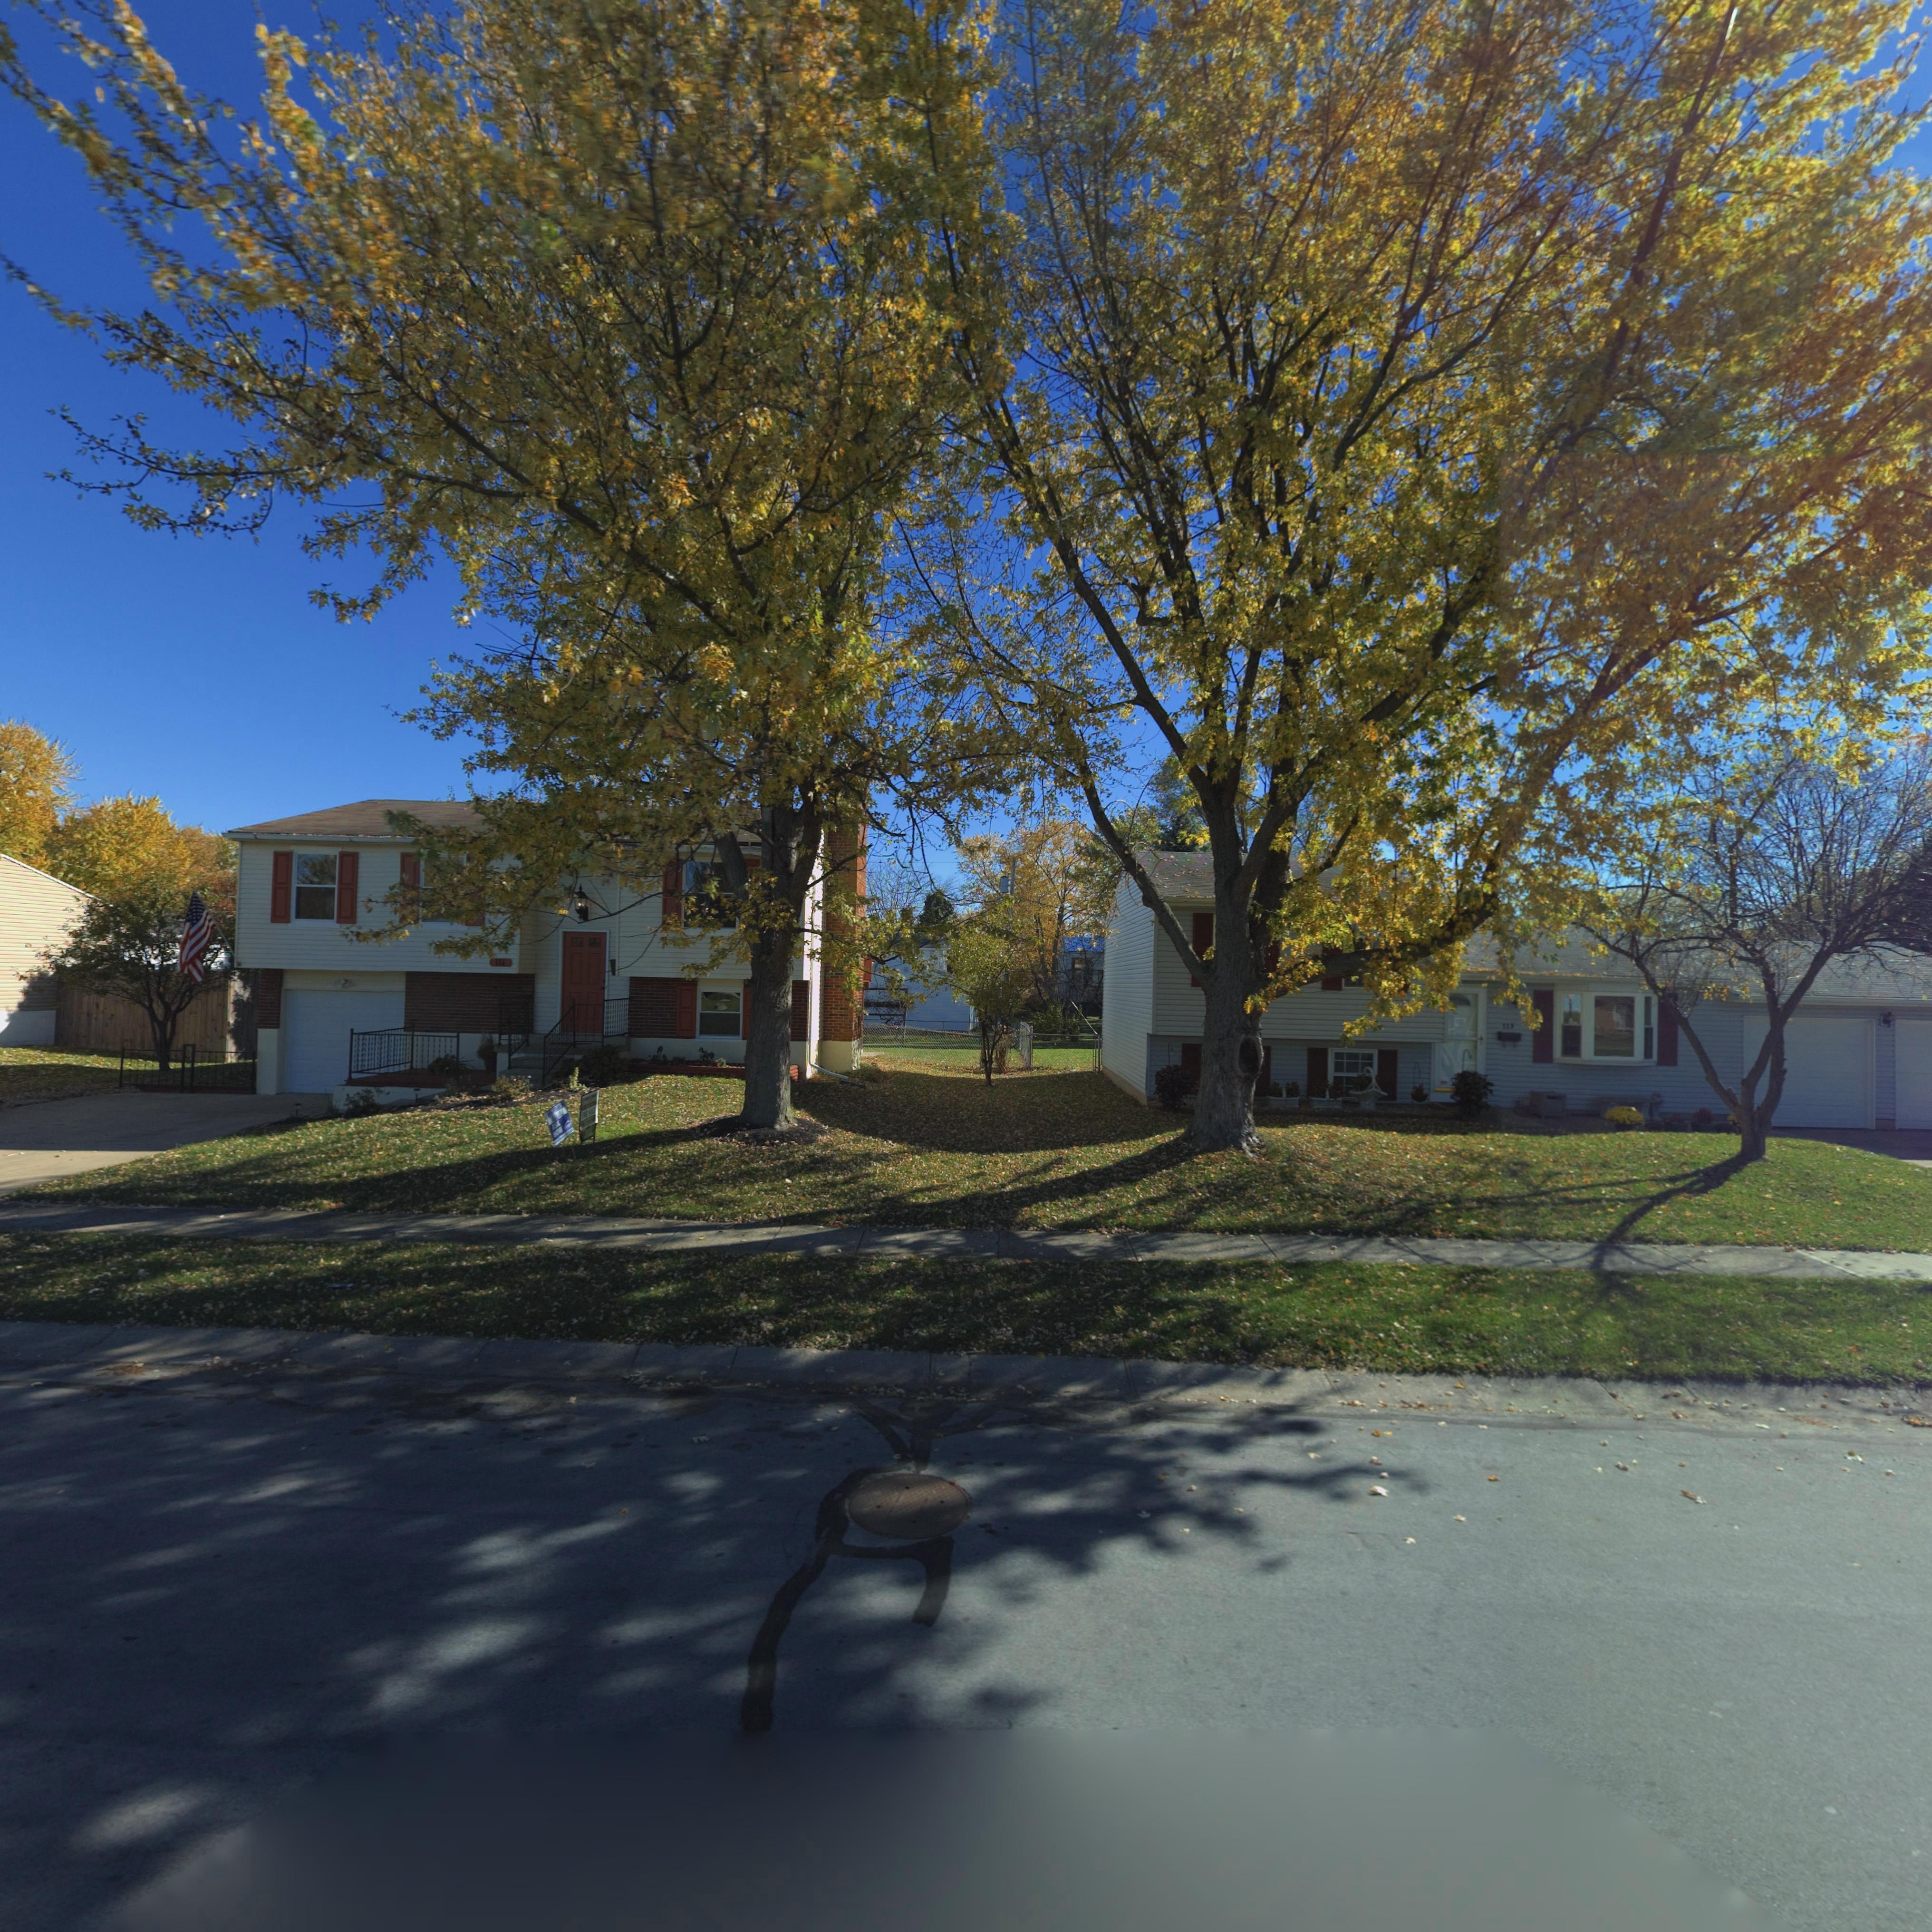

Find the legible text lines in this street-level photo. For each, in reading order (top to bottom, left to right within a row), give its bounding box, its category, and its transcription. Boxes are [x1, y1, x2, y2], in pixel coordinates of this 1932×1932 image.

[495, 958, 505, 966] StreetNumber: 111
[1502, 1023, 1515, 1029] StreetNumber: 113